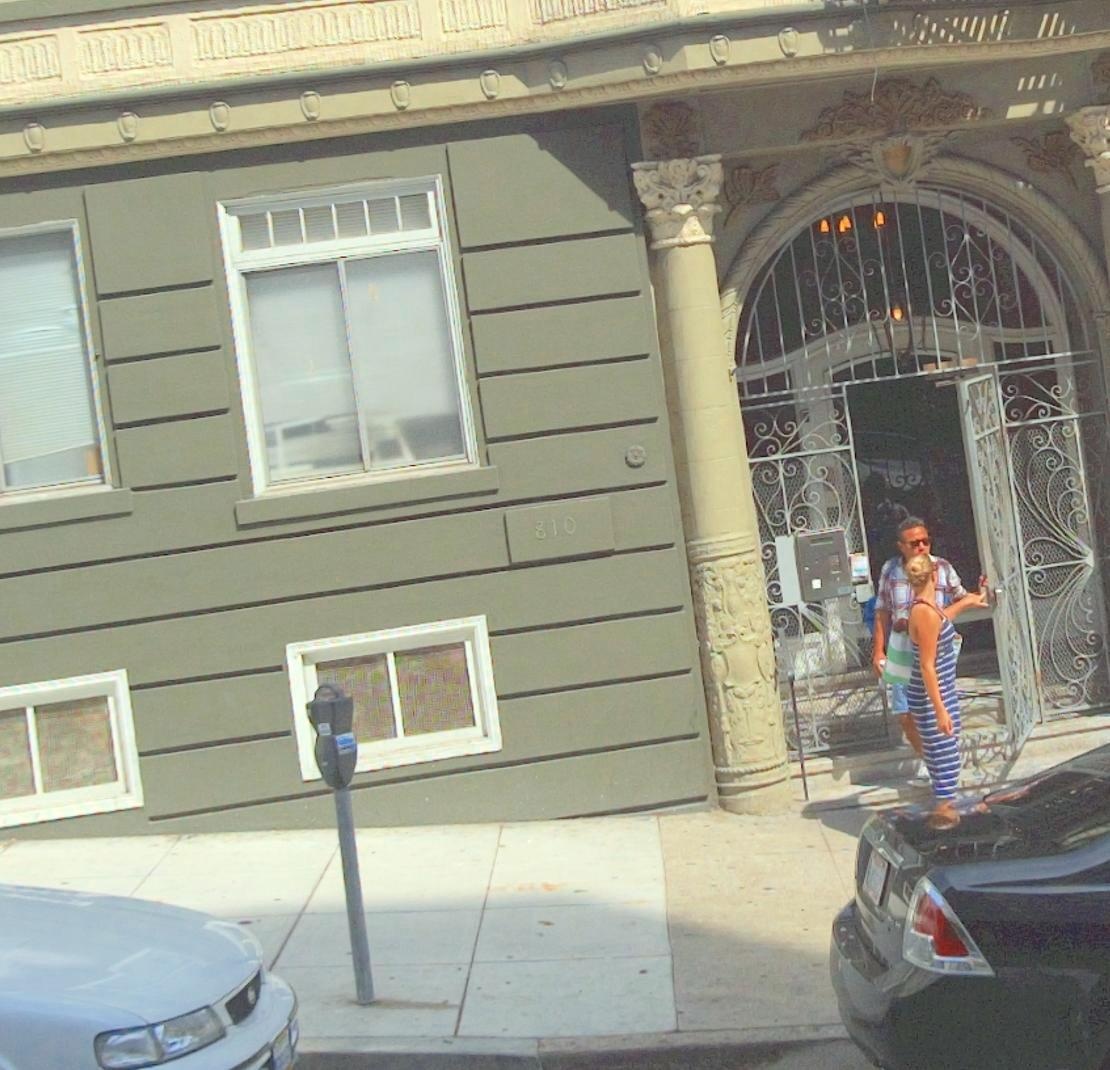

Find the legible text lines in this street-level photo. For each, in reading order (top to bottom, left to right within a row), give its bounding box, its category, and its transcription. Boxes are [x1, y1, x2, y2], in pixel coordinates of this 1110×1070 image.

[530, 511, 580, 544] StreetNumber: 810